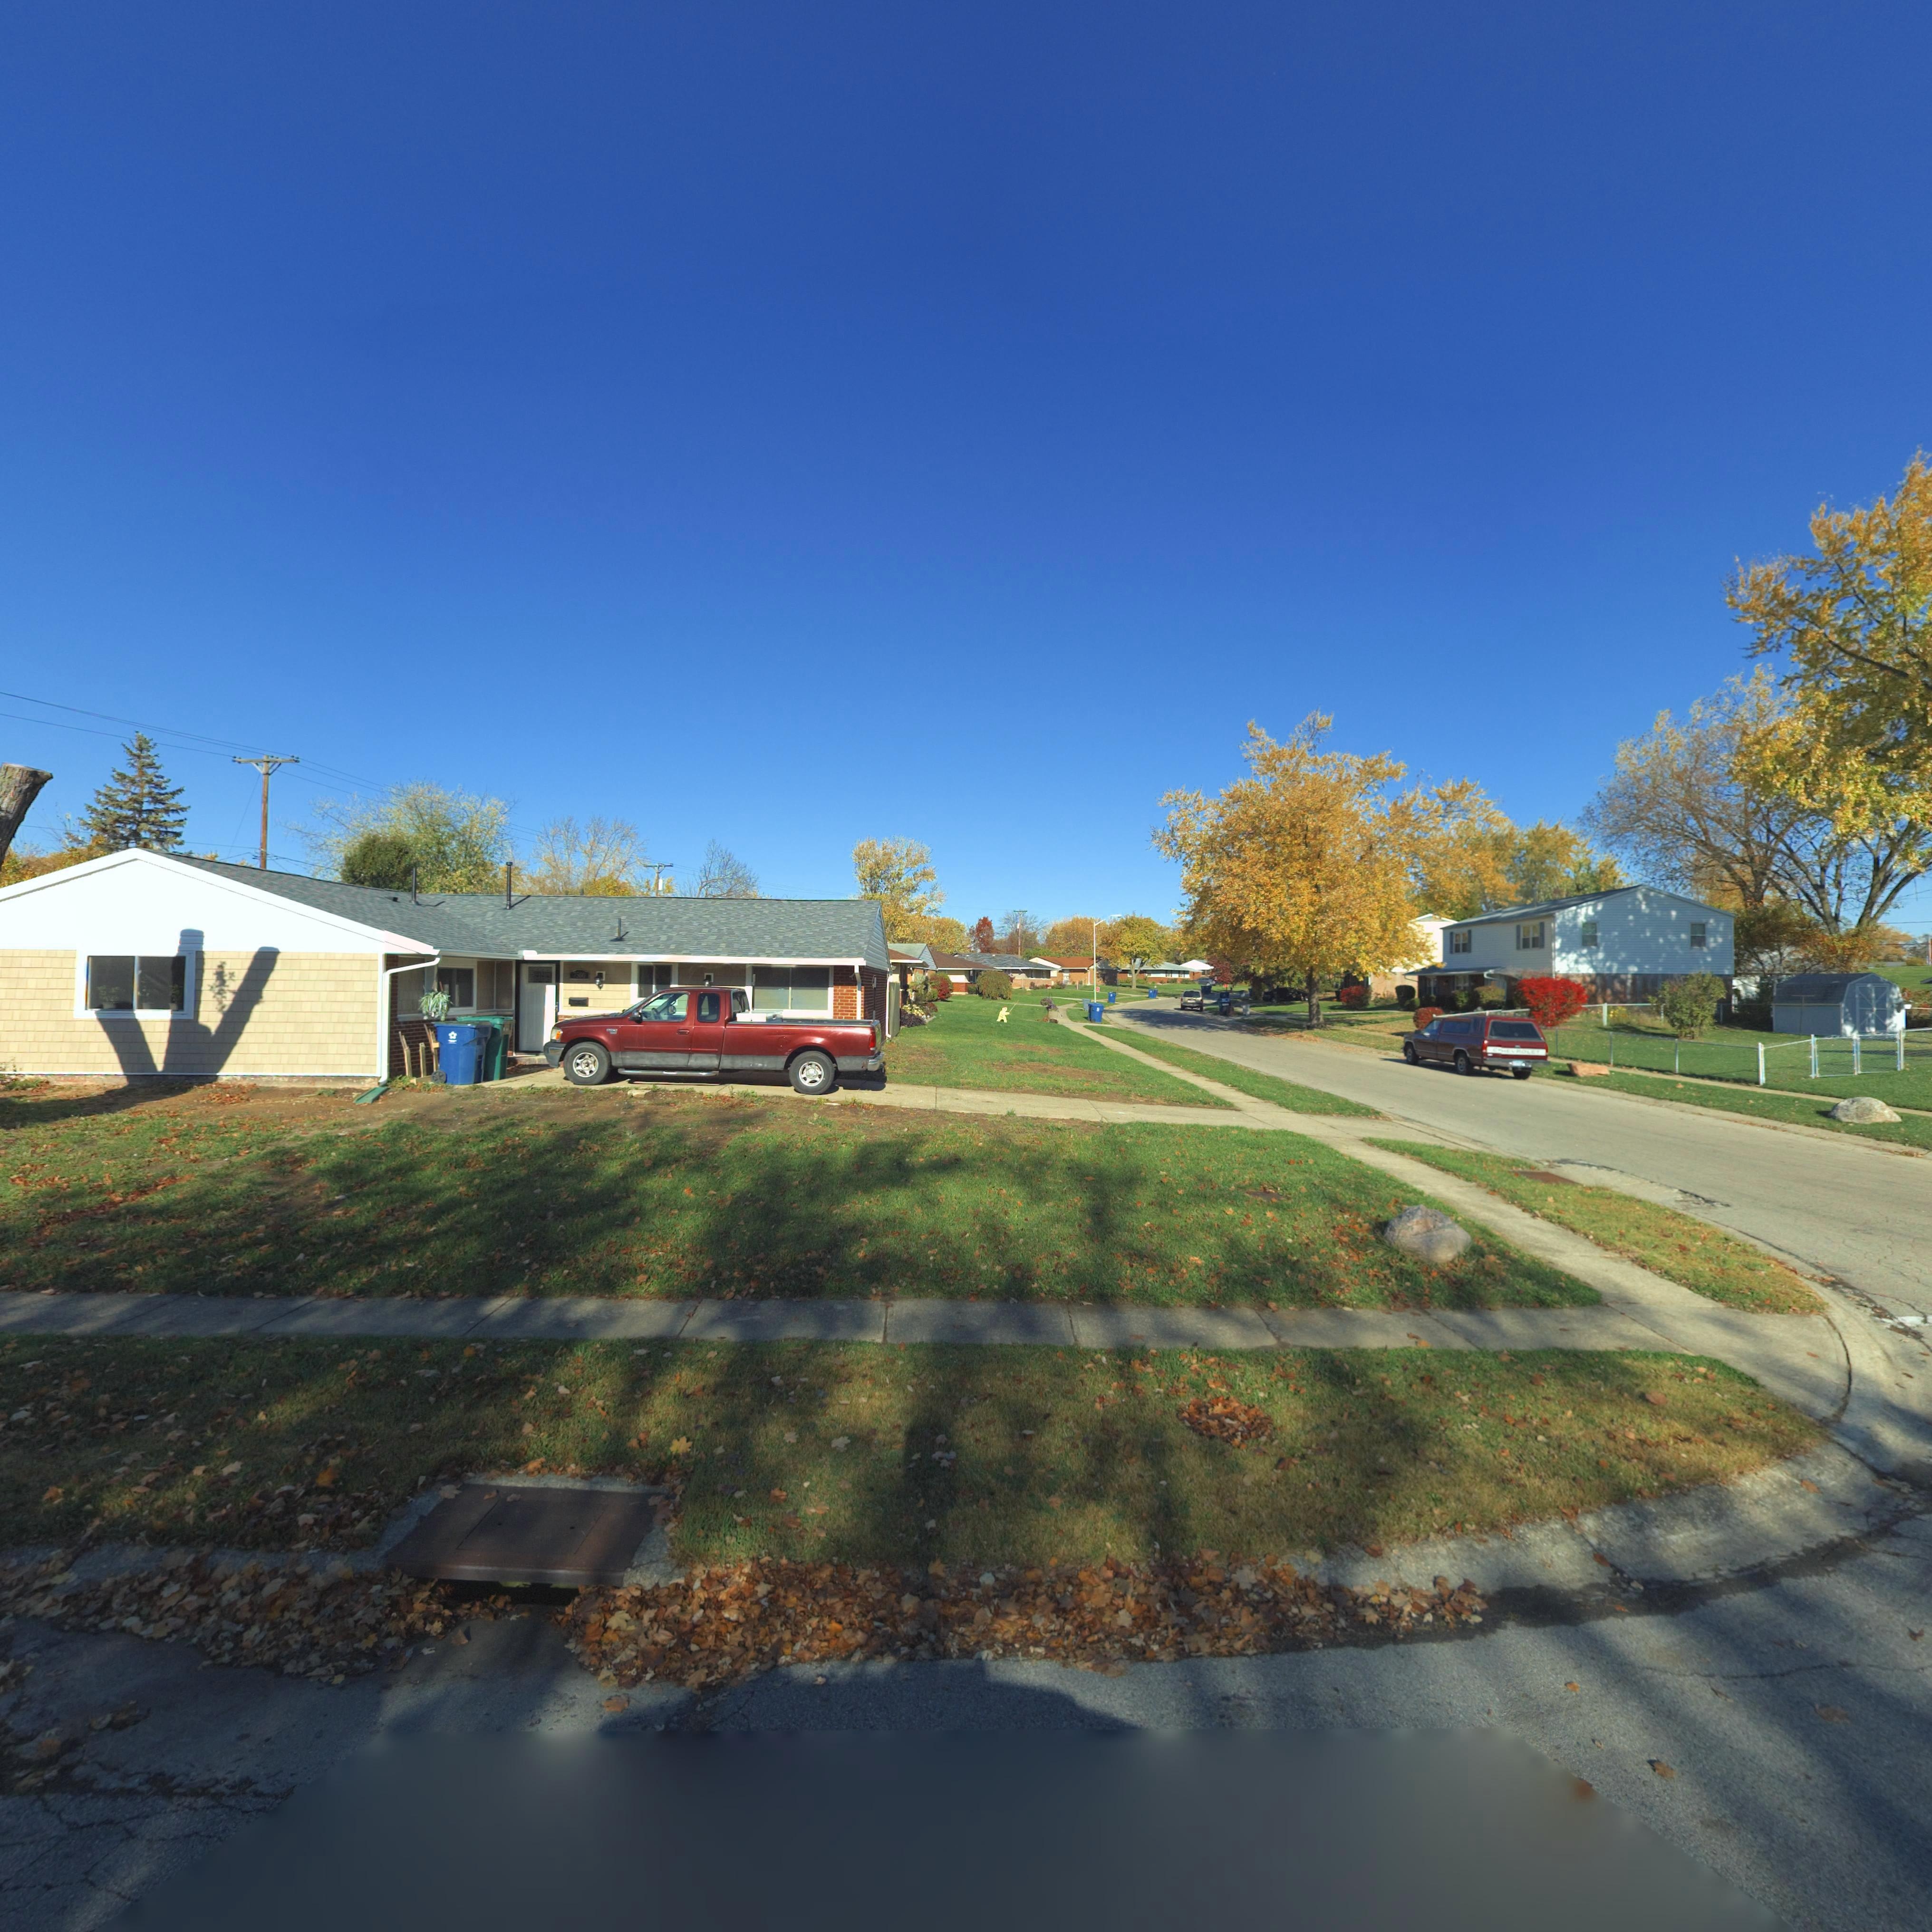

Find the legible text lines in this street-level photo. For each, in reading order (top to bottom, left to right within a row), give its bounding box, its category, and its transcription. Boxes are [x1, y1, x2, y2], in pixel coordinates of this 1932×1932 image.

[572, 971, 587, 979] StreetNumber: 7500